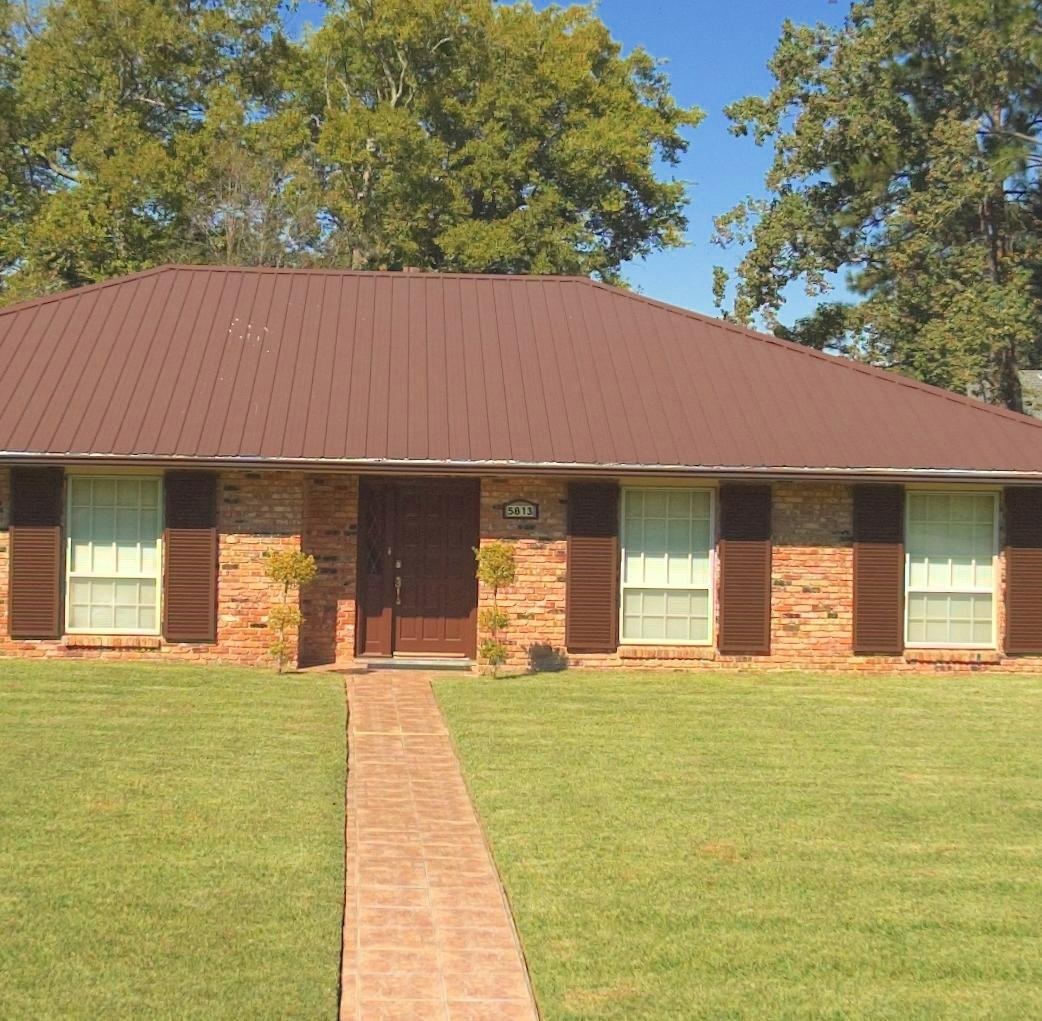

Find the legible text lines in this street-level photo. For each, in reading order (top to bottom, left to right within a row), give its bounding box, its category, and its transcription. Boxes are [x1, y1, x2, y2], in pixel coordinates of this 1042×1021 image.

[506, 505, 534, 517] StreetNumber: 5813